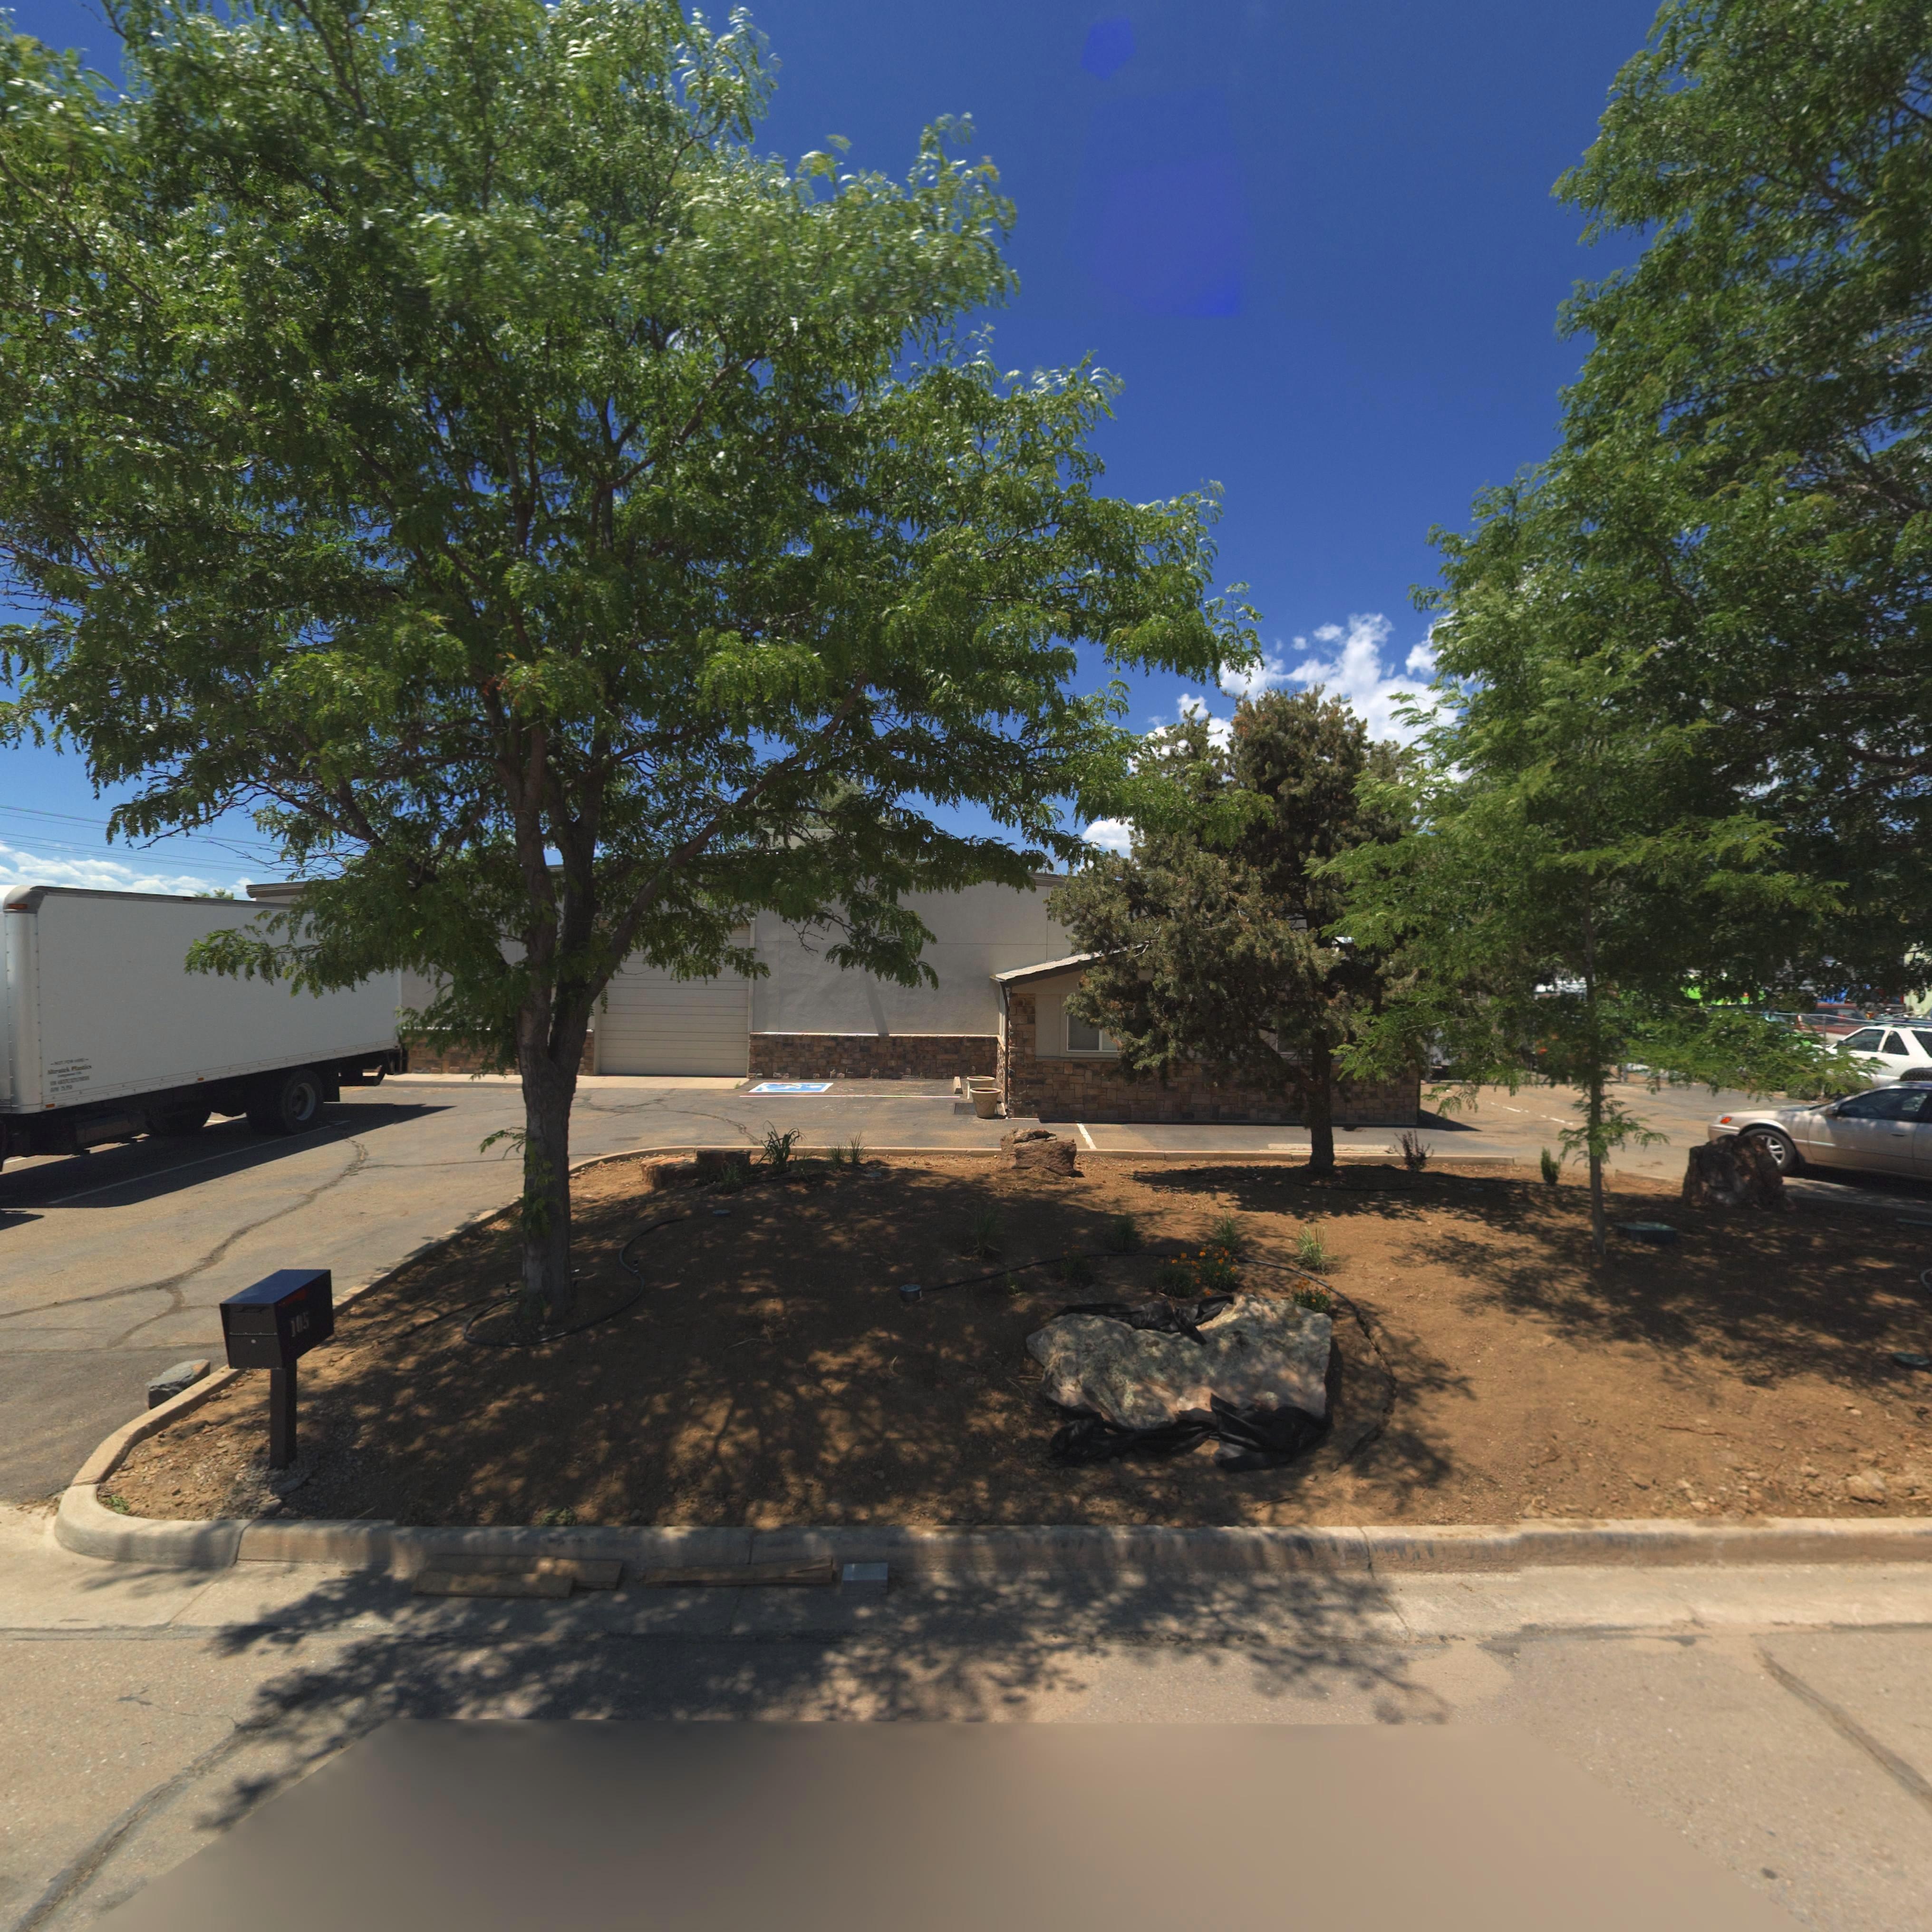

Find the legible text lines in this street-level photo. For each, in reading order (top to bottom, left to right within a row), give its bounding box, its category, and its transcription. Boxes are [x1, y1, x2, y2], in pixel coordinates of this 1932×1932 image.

[288, 1309, 310, 1339] StreetNumber: 105